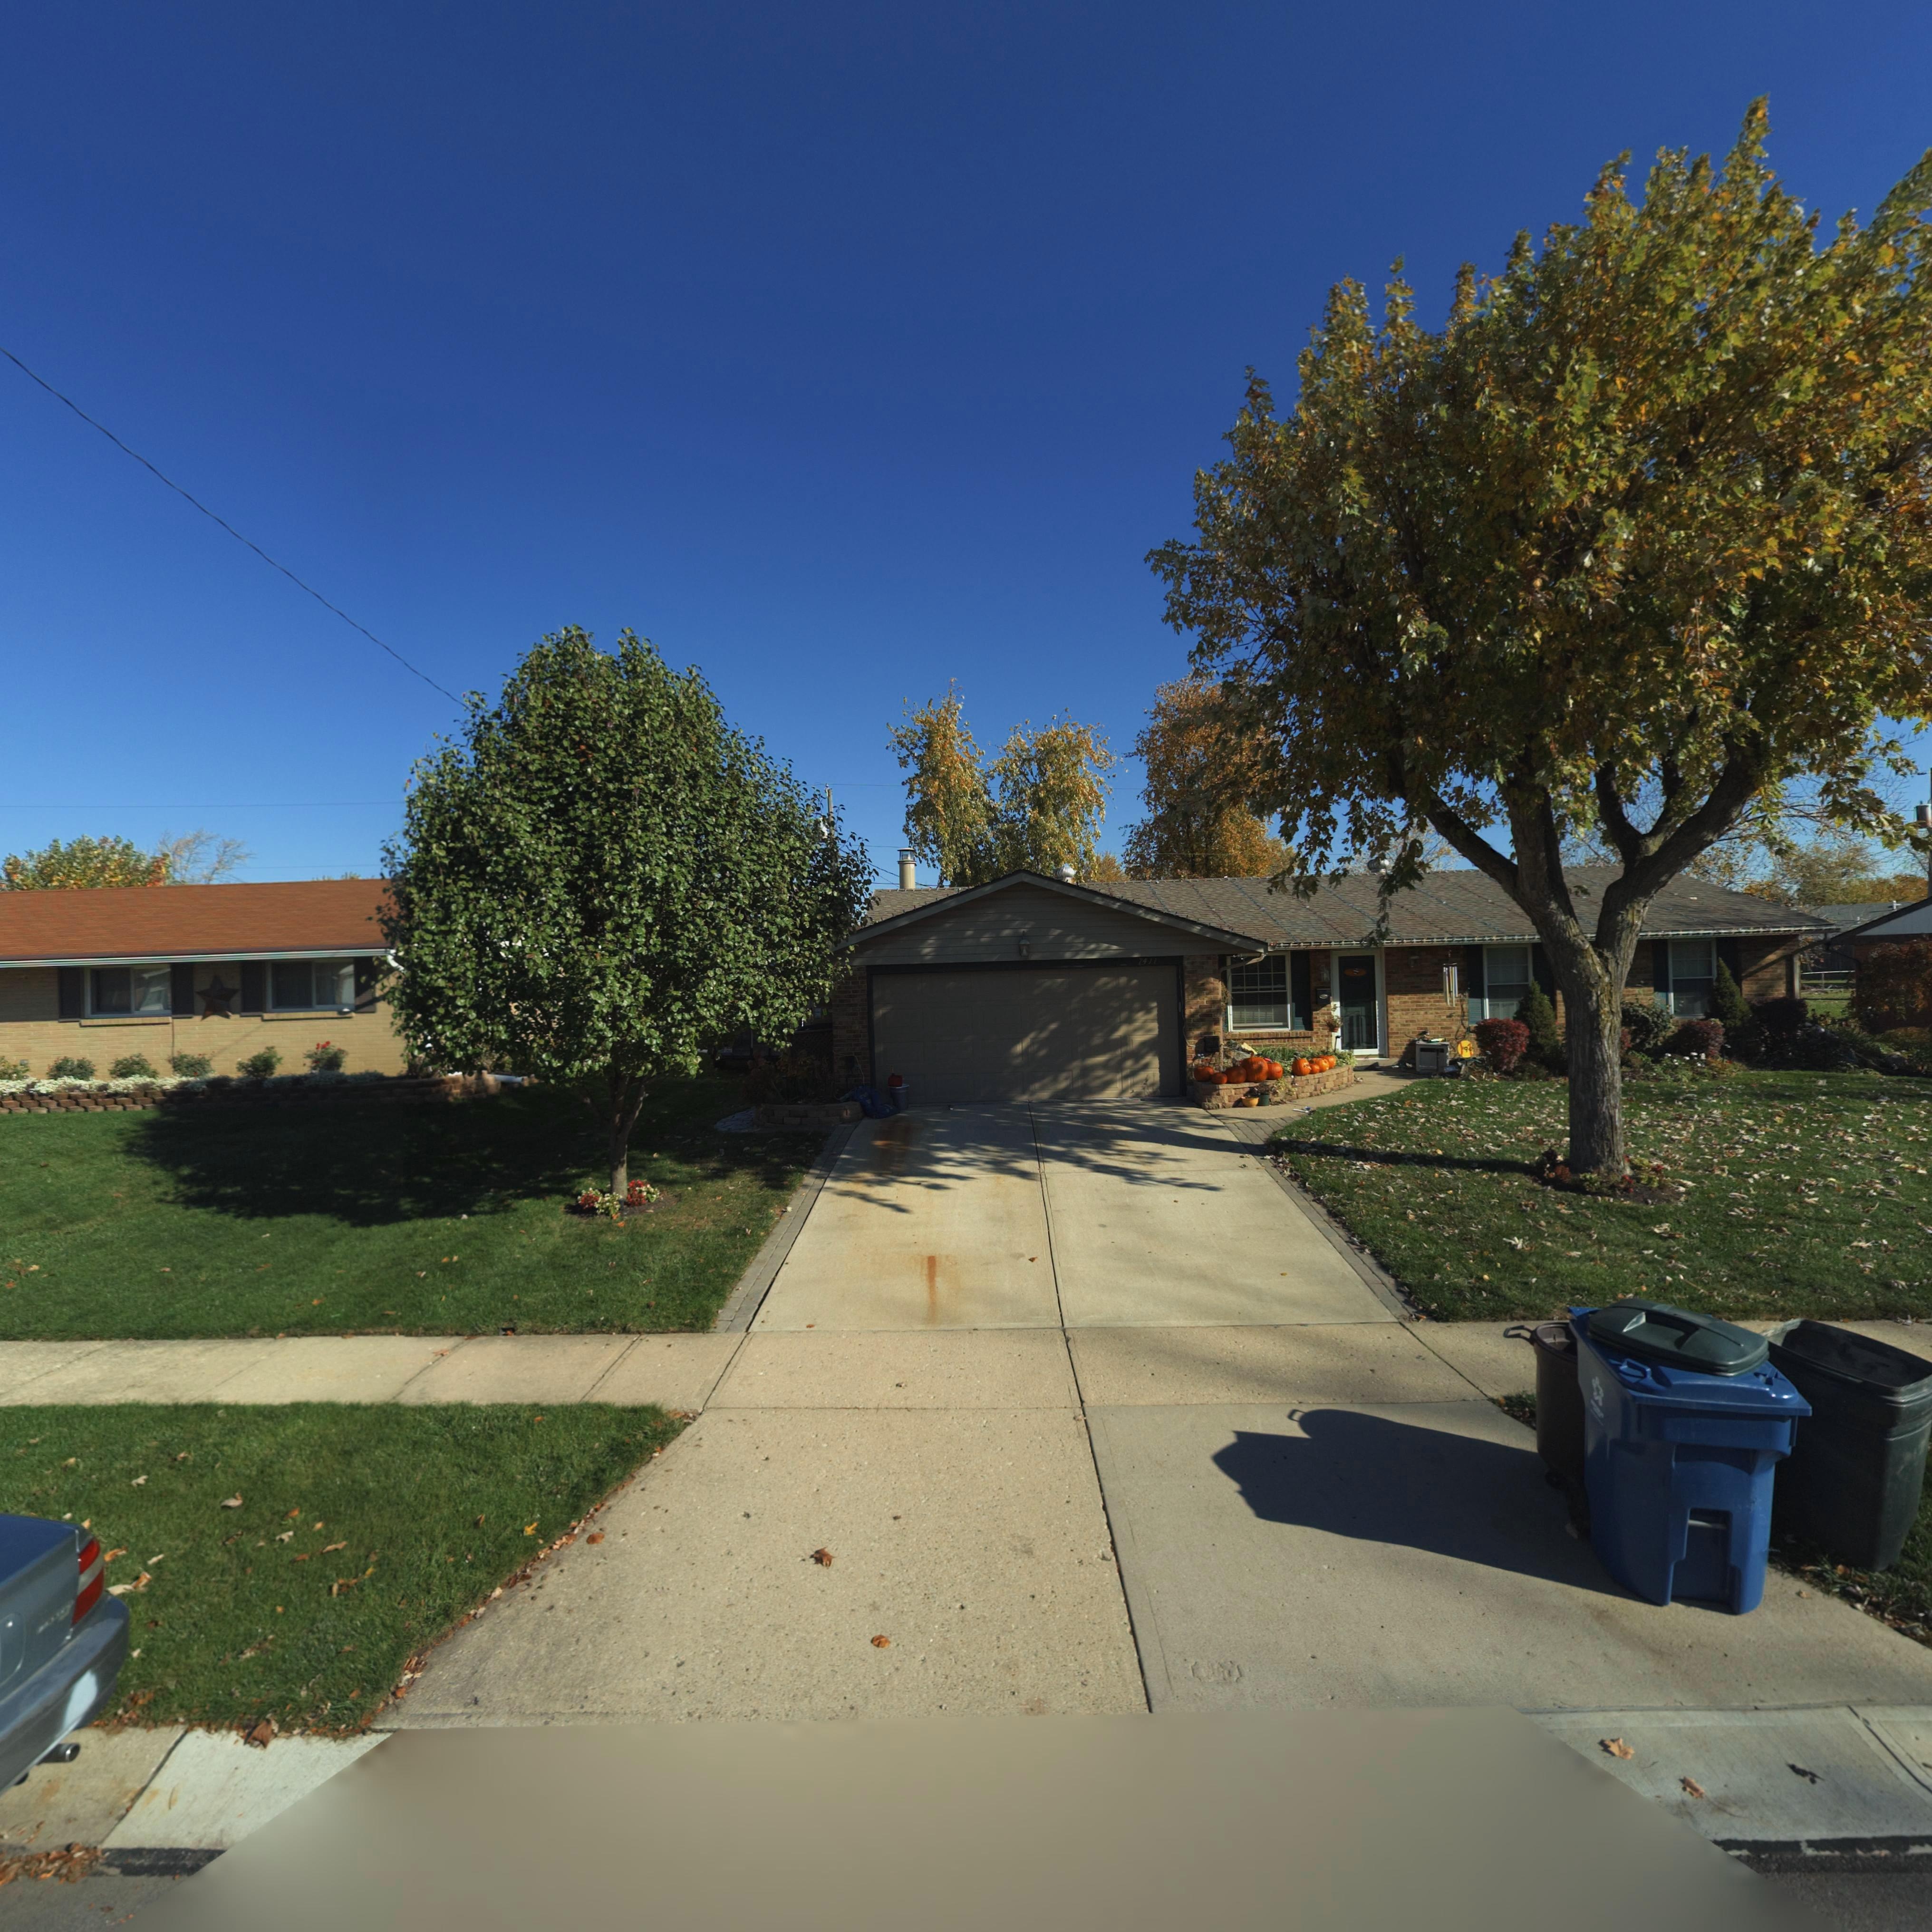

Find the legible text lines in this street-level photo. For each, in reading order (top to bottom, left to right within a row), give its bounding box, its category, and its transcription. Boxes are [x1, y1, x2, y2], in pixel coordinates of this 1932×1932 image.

[1138, 957, 1158, 966] StreetNumber: 7411